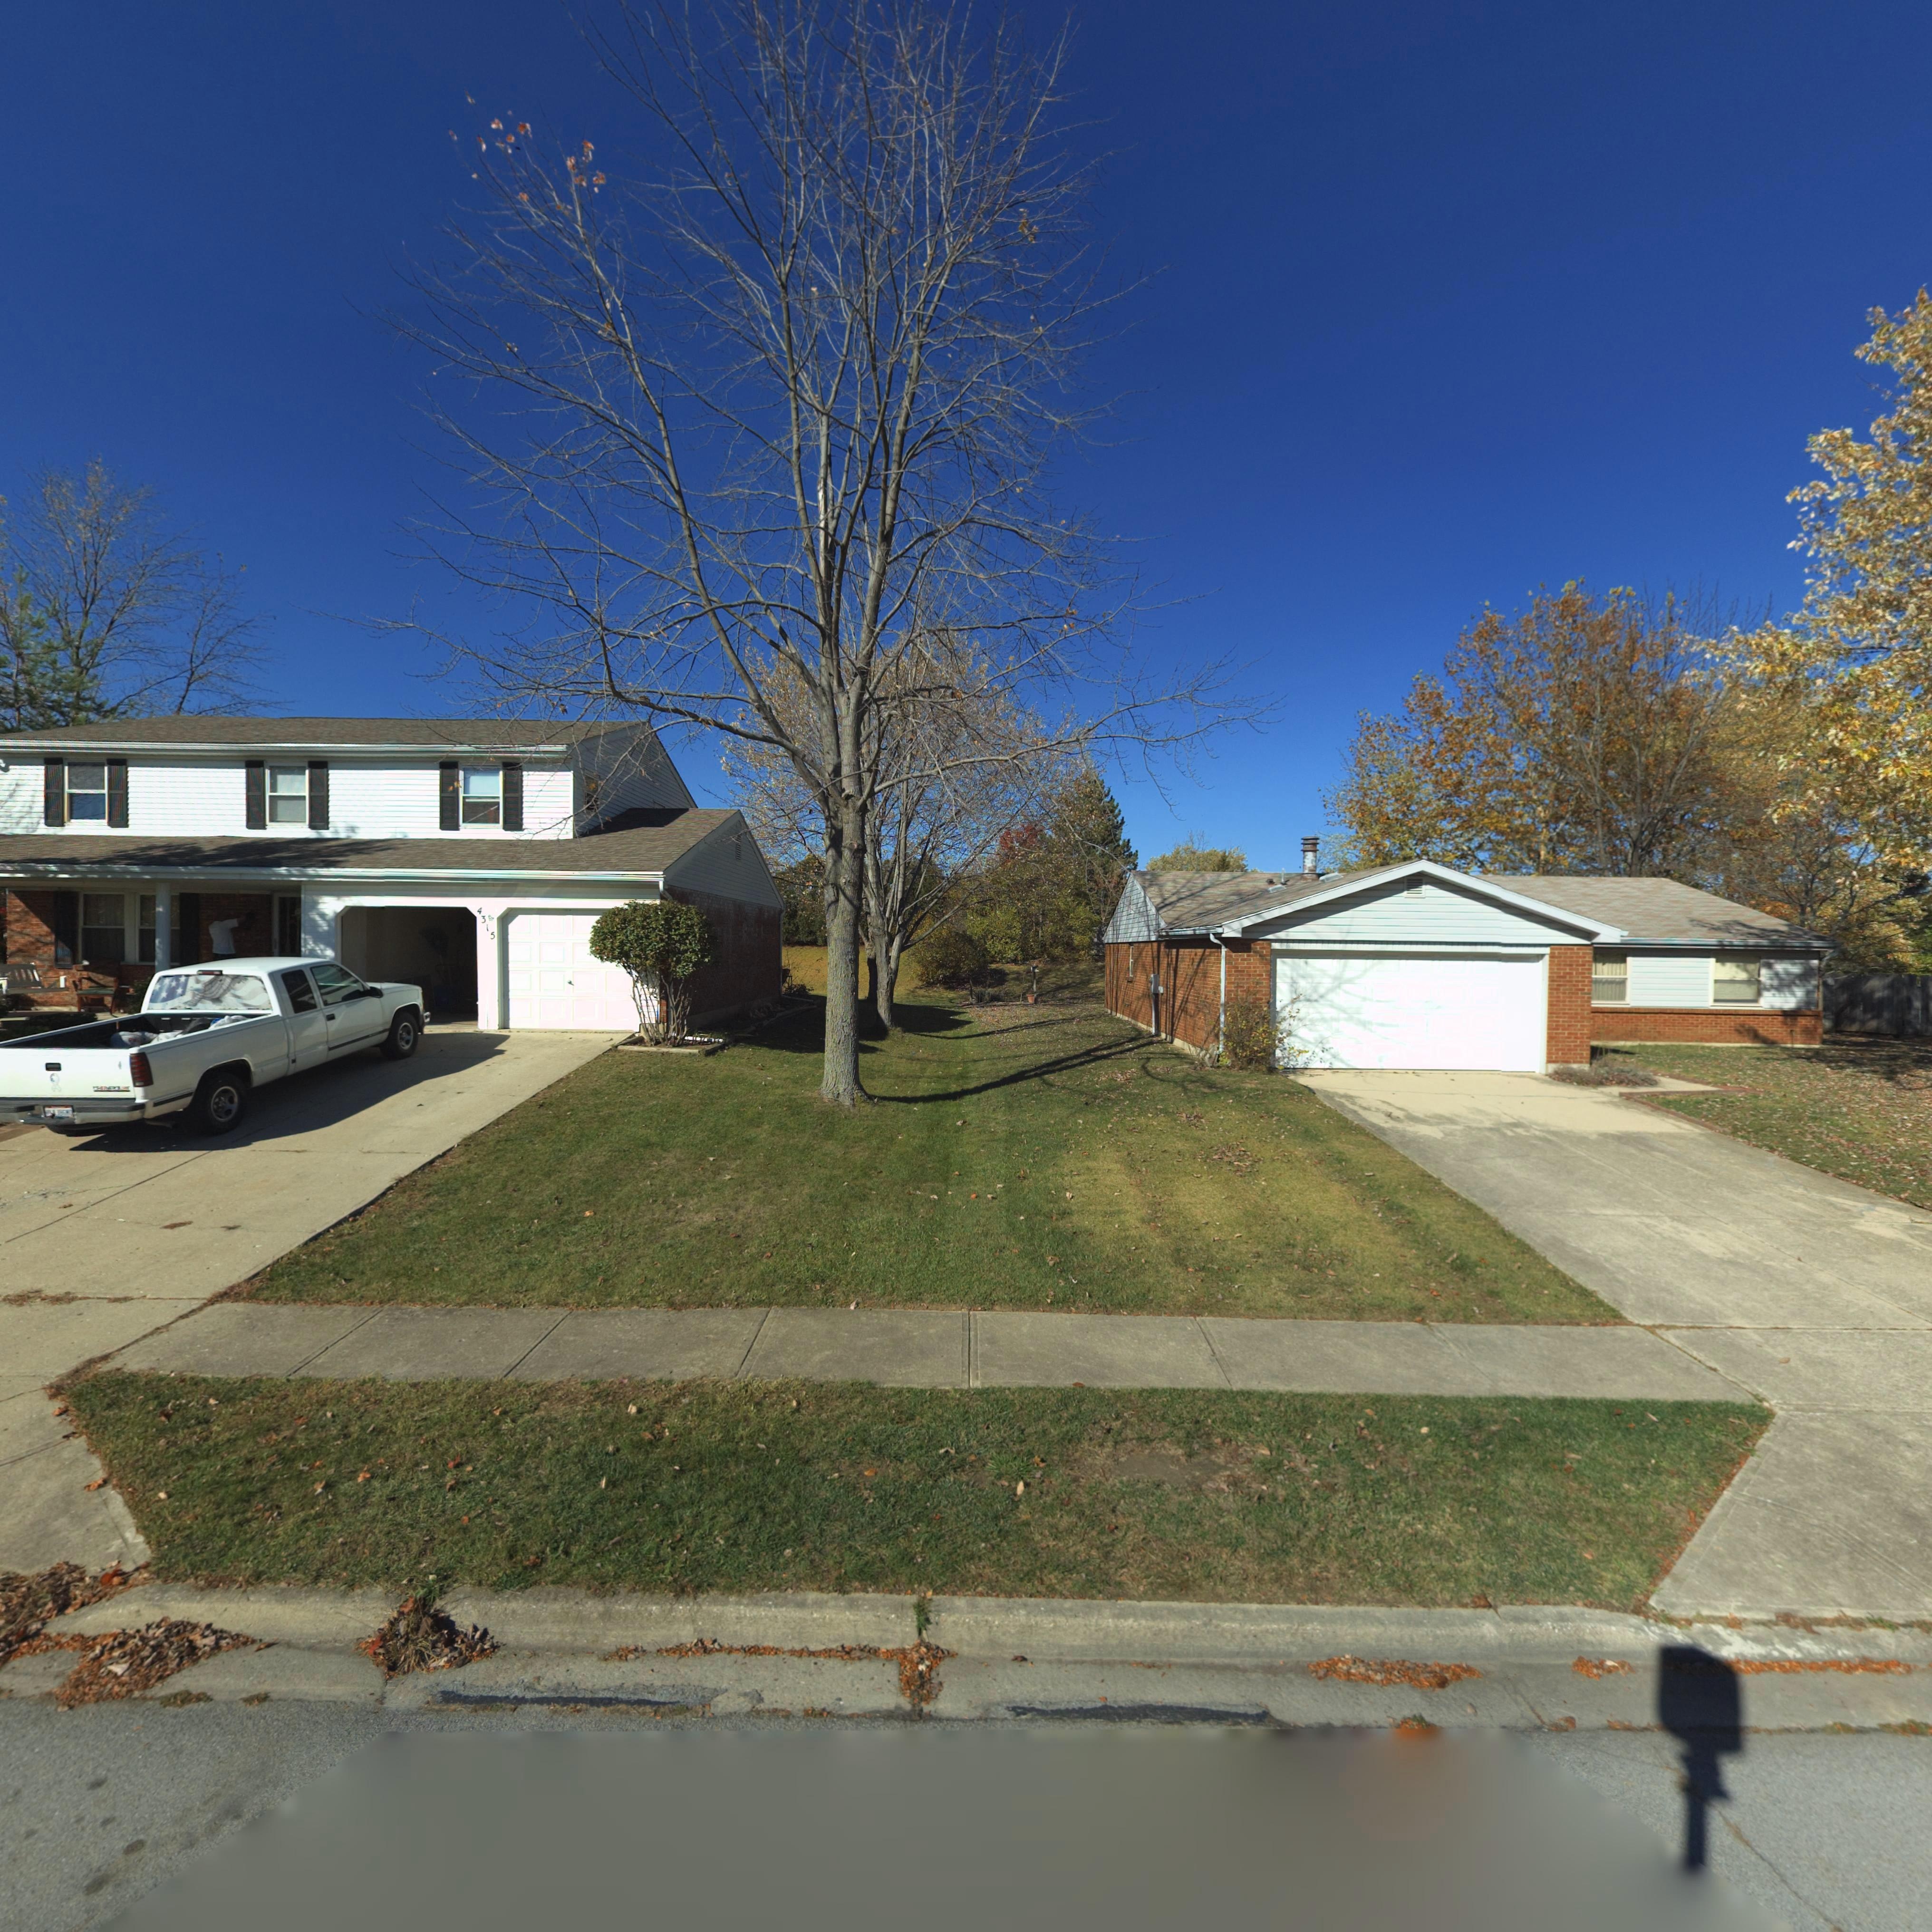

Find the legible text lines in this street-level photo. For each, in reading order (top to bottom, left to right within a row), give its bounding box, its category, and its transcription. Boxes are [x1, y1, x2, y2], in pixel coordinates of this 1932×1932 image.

[476, 907, 495, 940] StreetNumber: 4315